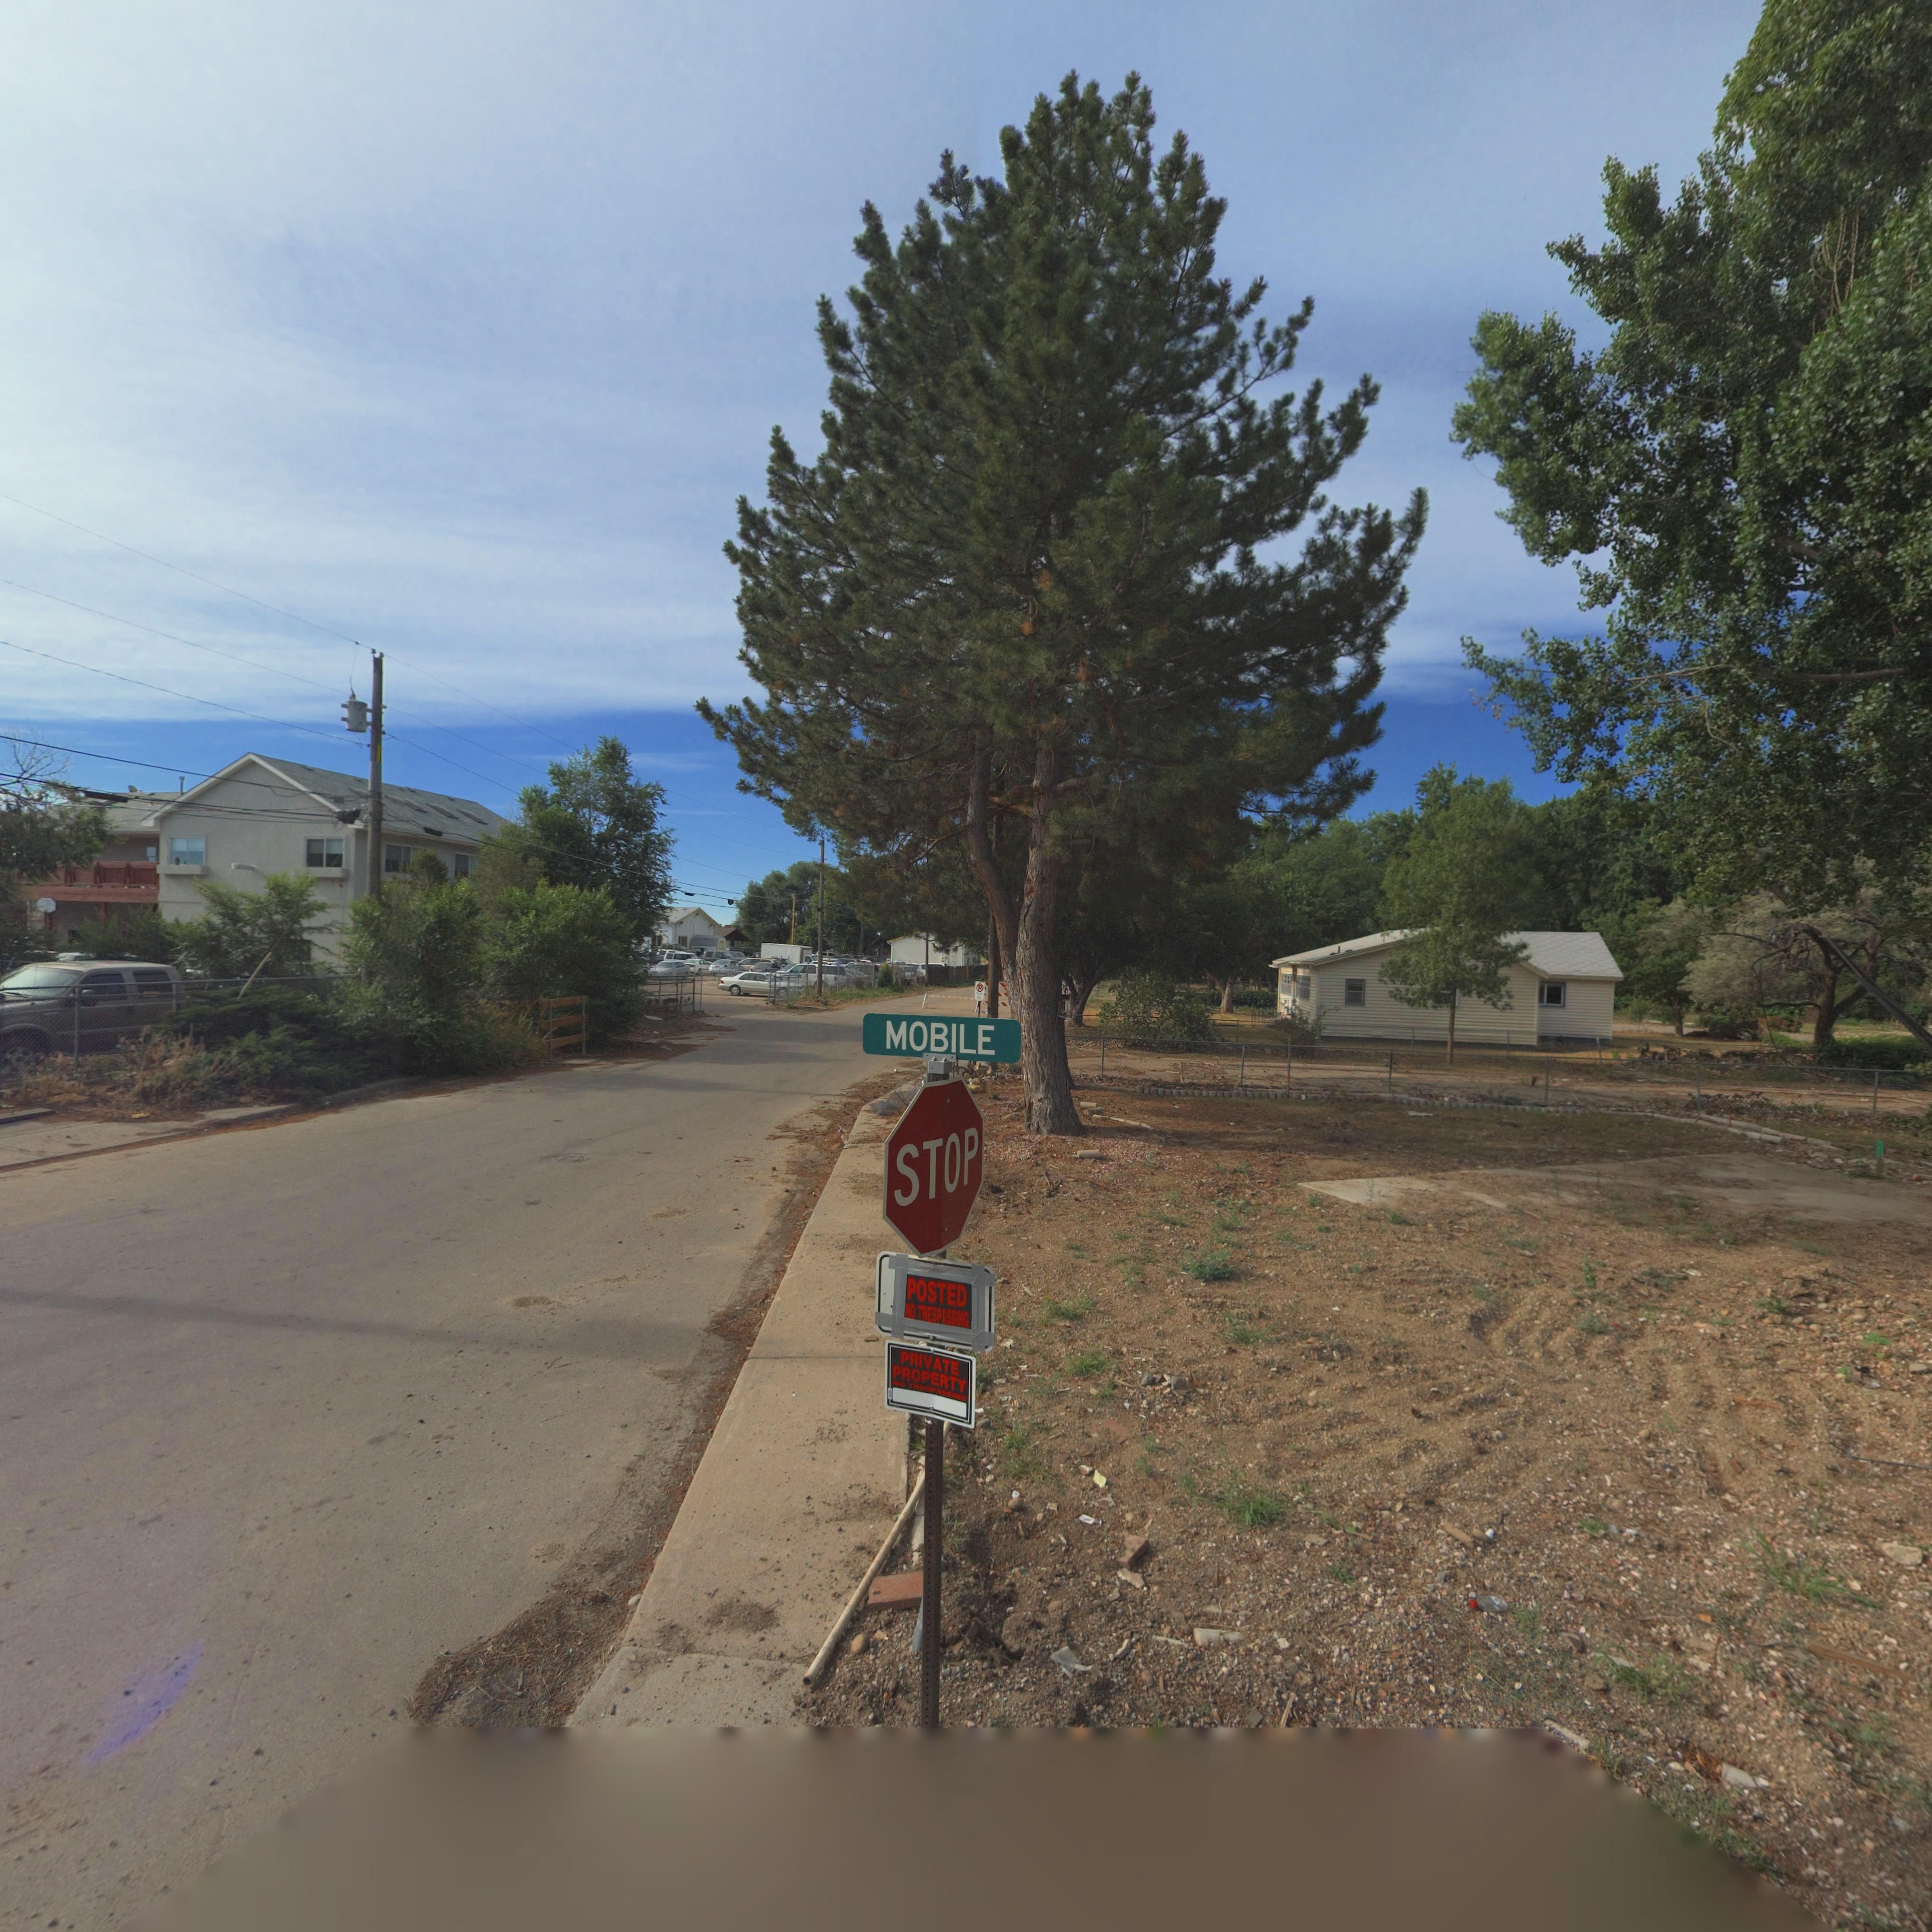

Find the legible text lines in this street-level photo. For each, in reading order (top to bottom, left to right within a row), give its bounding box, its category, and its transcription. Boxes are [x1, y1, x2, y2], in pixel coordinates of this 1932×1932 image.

[886, 1020, 995, 1054] StreetName: MOBILE